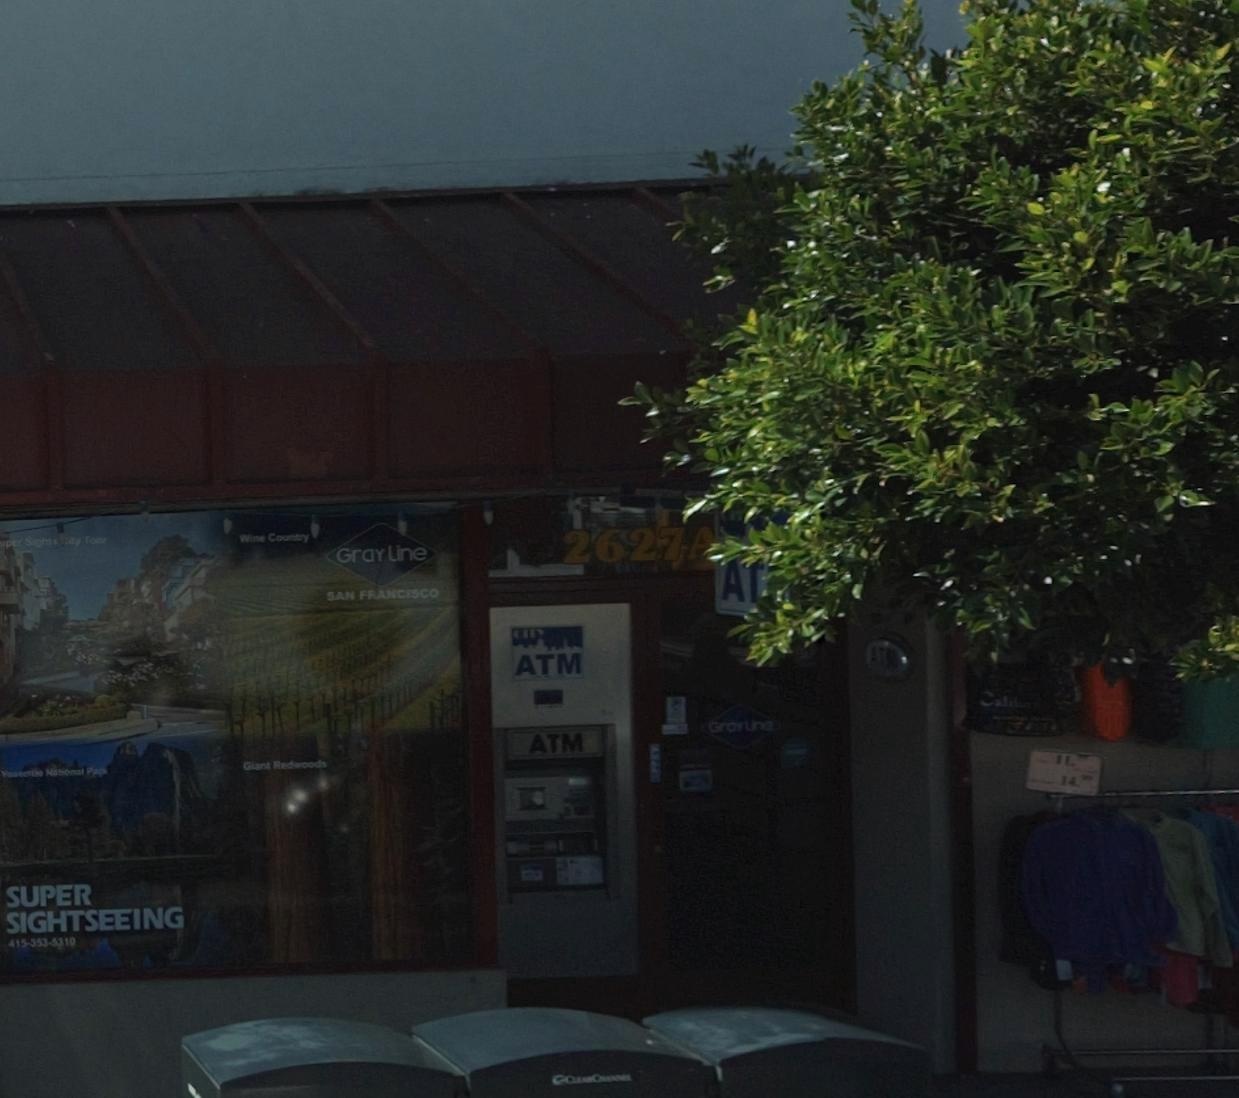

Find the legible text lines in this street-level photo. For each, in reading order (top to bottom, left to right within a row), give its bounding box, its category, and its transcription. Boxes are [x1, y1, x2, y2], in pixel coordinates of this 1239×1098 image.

[238, 532, 312, 544] None: Wine Country
[334, 543, 429, 565] None: Gray Line
[562, 525, 687, 564] StreetNumber: 2627
[718, 556, 767, 604] None: AT
[326, 586, 441, 602] None: SAN FRANCISCO
[512, 651, 582, 678] None: ATM
[867, 644, 899, 670] None: ATM
[706, 717, 776, 735] None: Gray Line
[526, 731, 584, 756] None: ATM
[241, 758, 327, 771] None: Giant Redwoods
[1054, 751, 1073, 768] None: 11
[1058, 773, 1079, 789] None: 14
[5, 882, 93, 910] None: SUPER
[5, 904, 185, 936] None: SIGHTSEEING
[7, 935, 77, 949] None: 415-353-5310